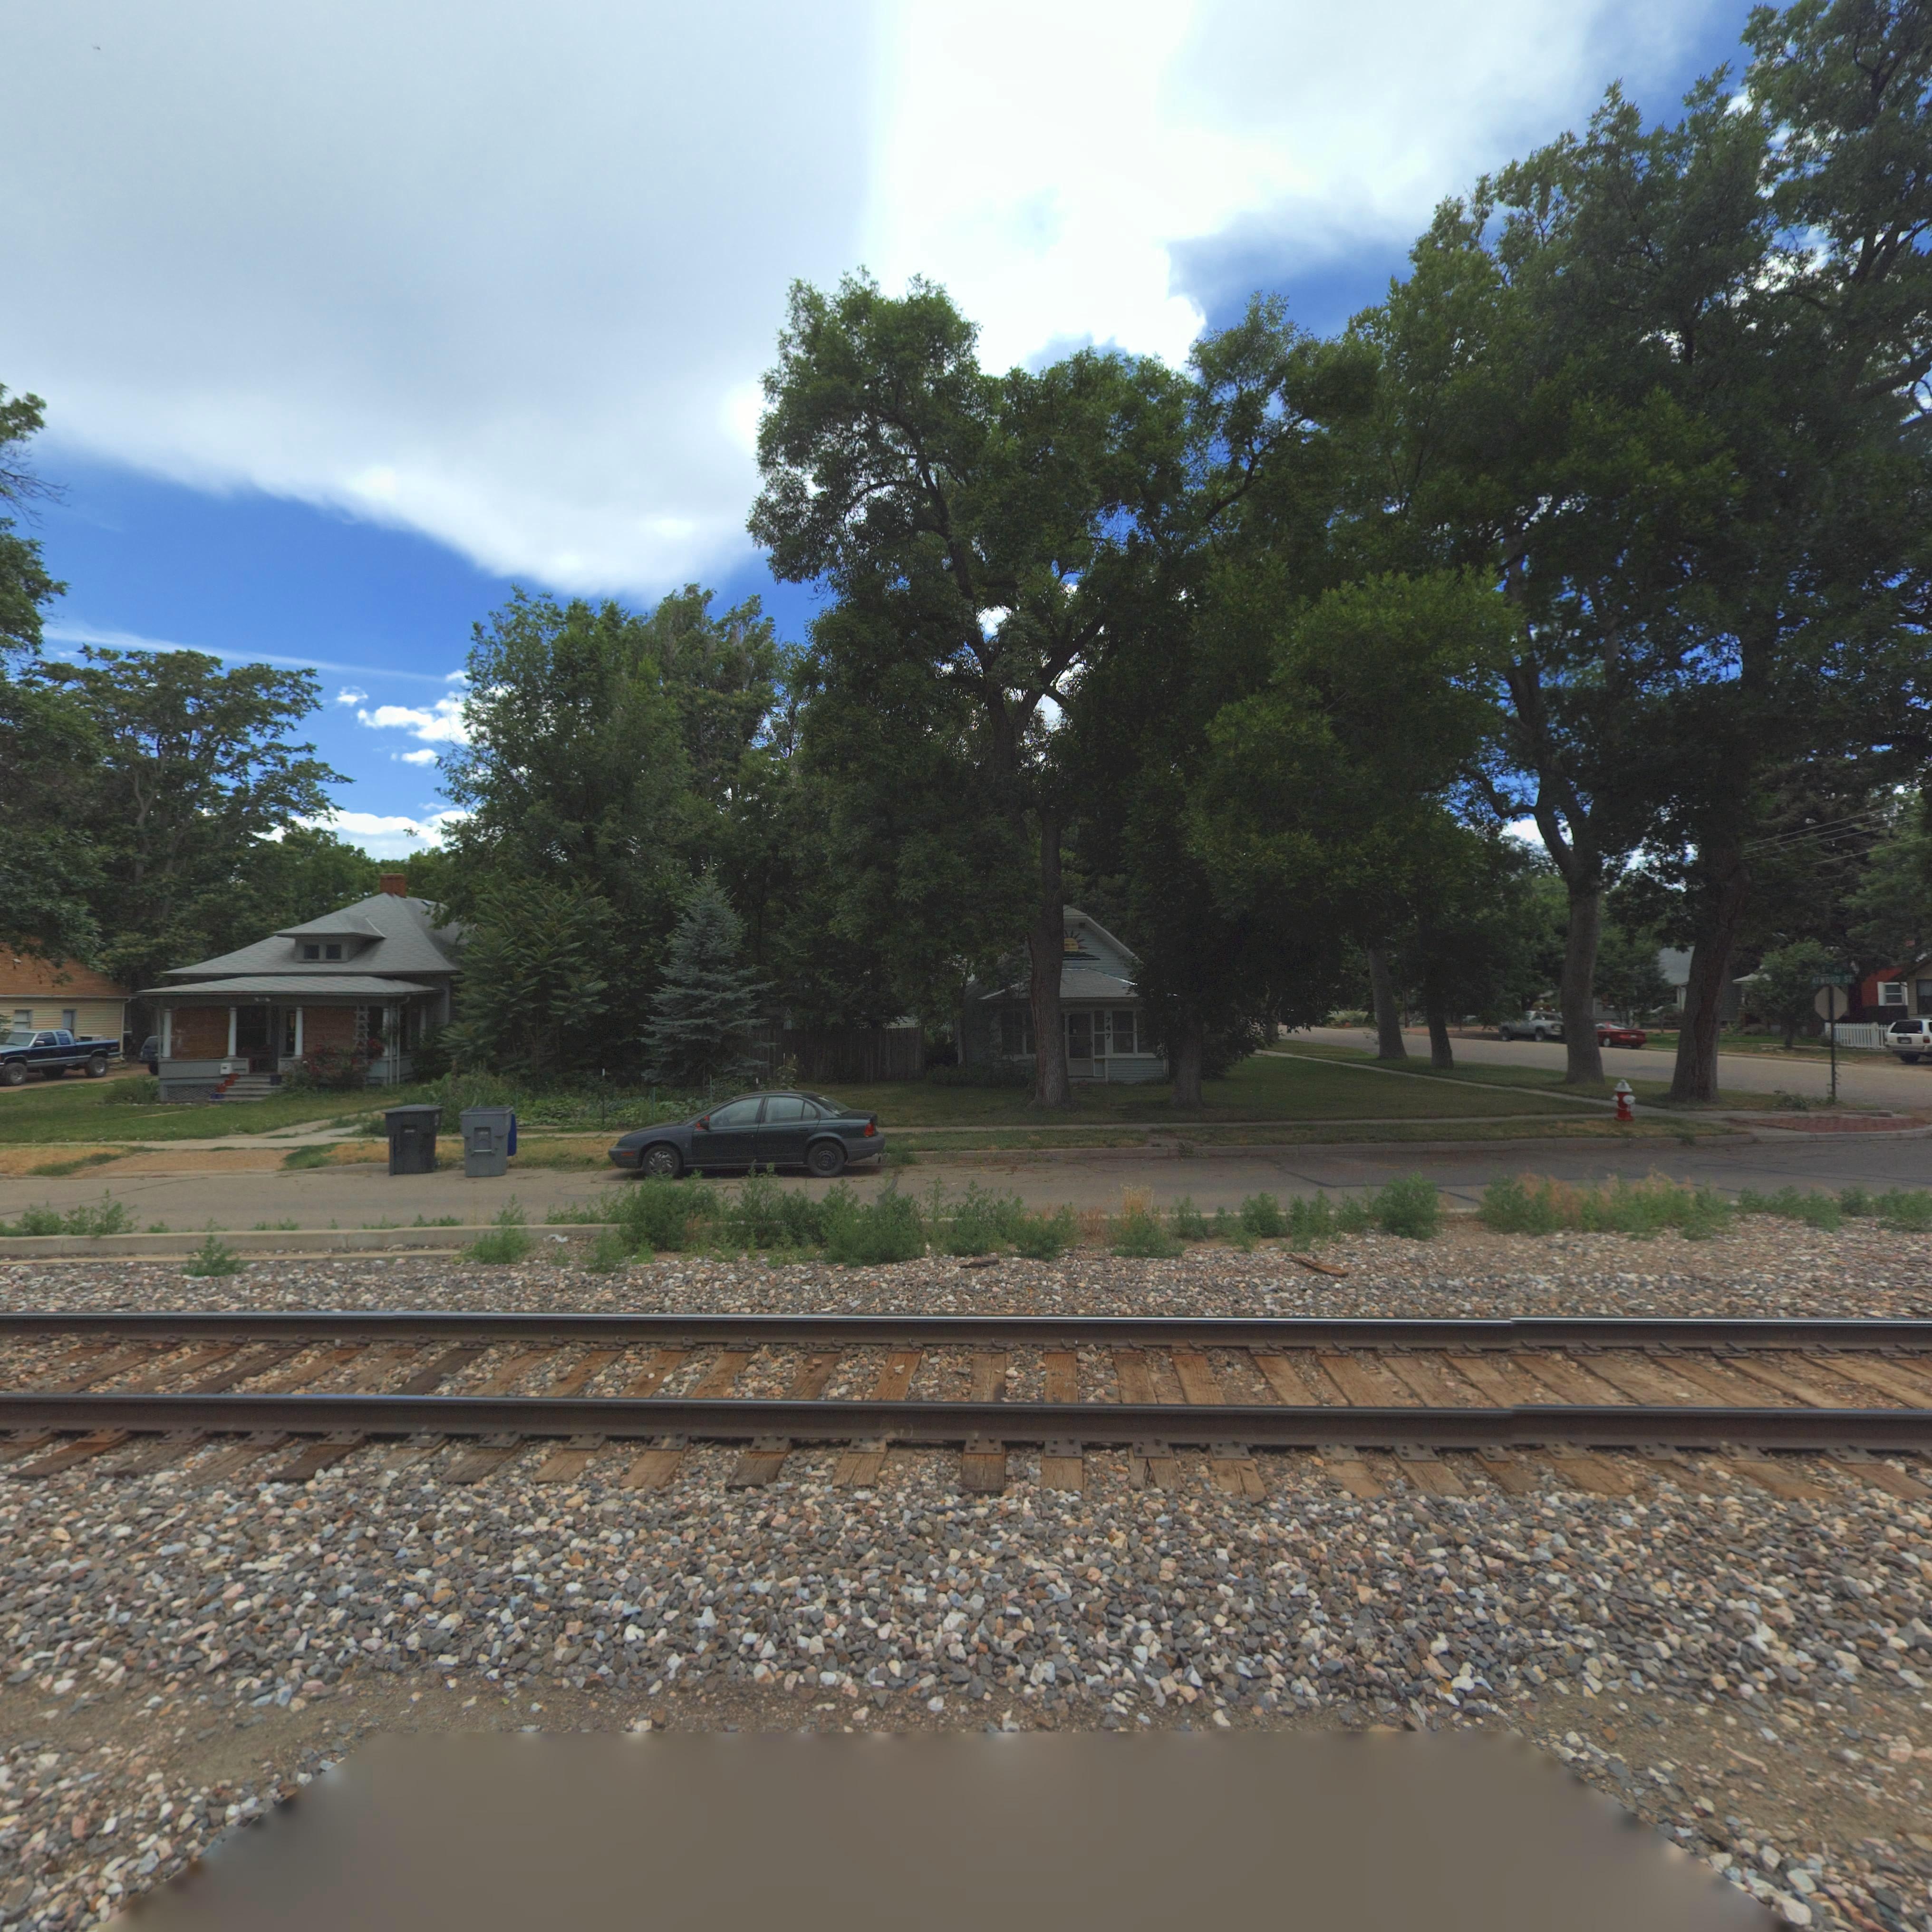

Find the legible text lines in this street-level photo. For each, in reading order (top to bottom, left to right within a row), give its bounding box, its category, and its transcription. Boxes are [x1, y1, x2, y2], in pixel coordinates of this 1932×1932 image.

[1105, 1017, 1111, 1039] StreetNumber: 747